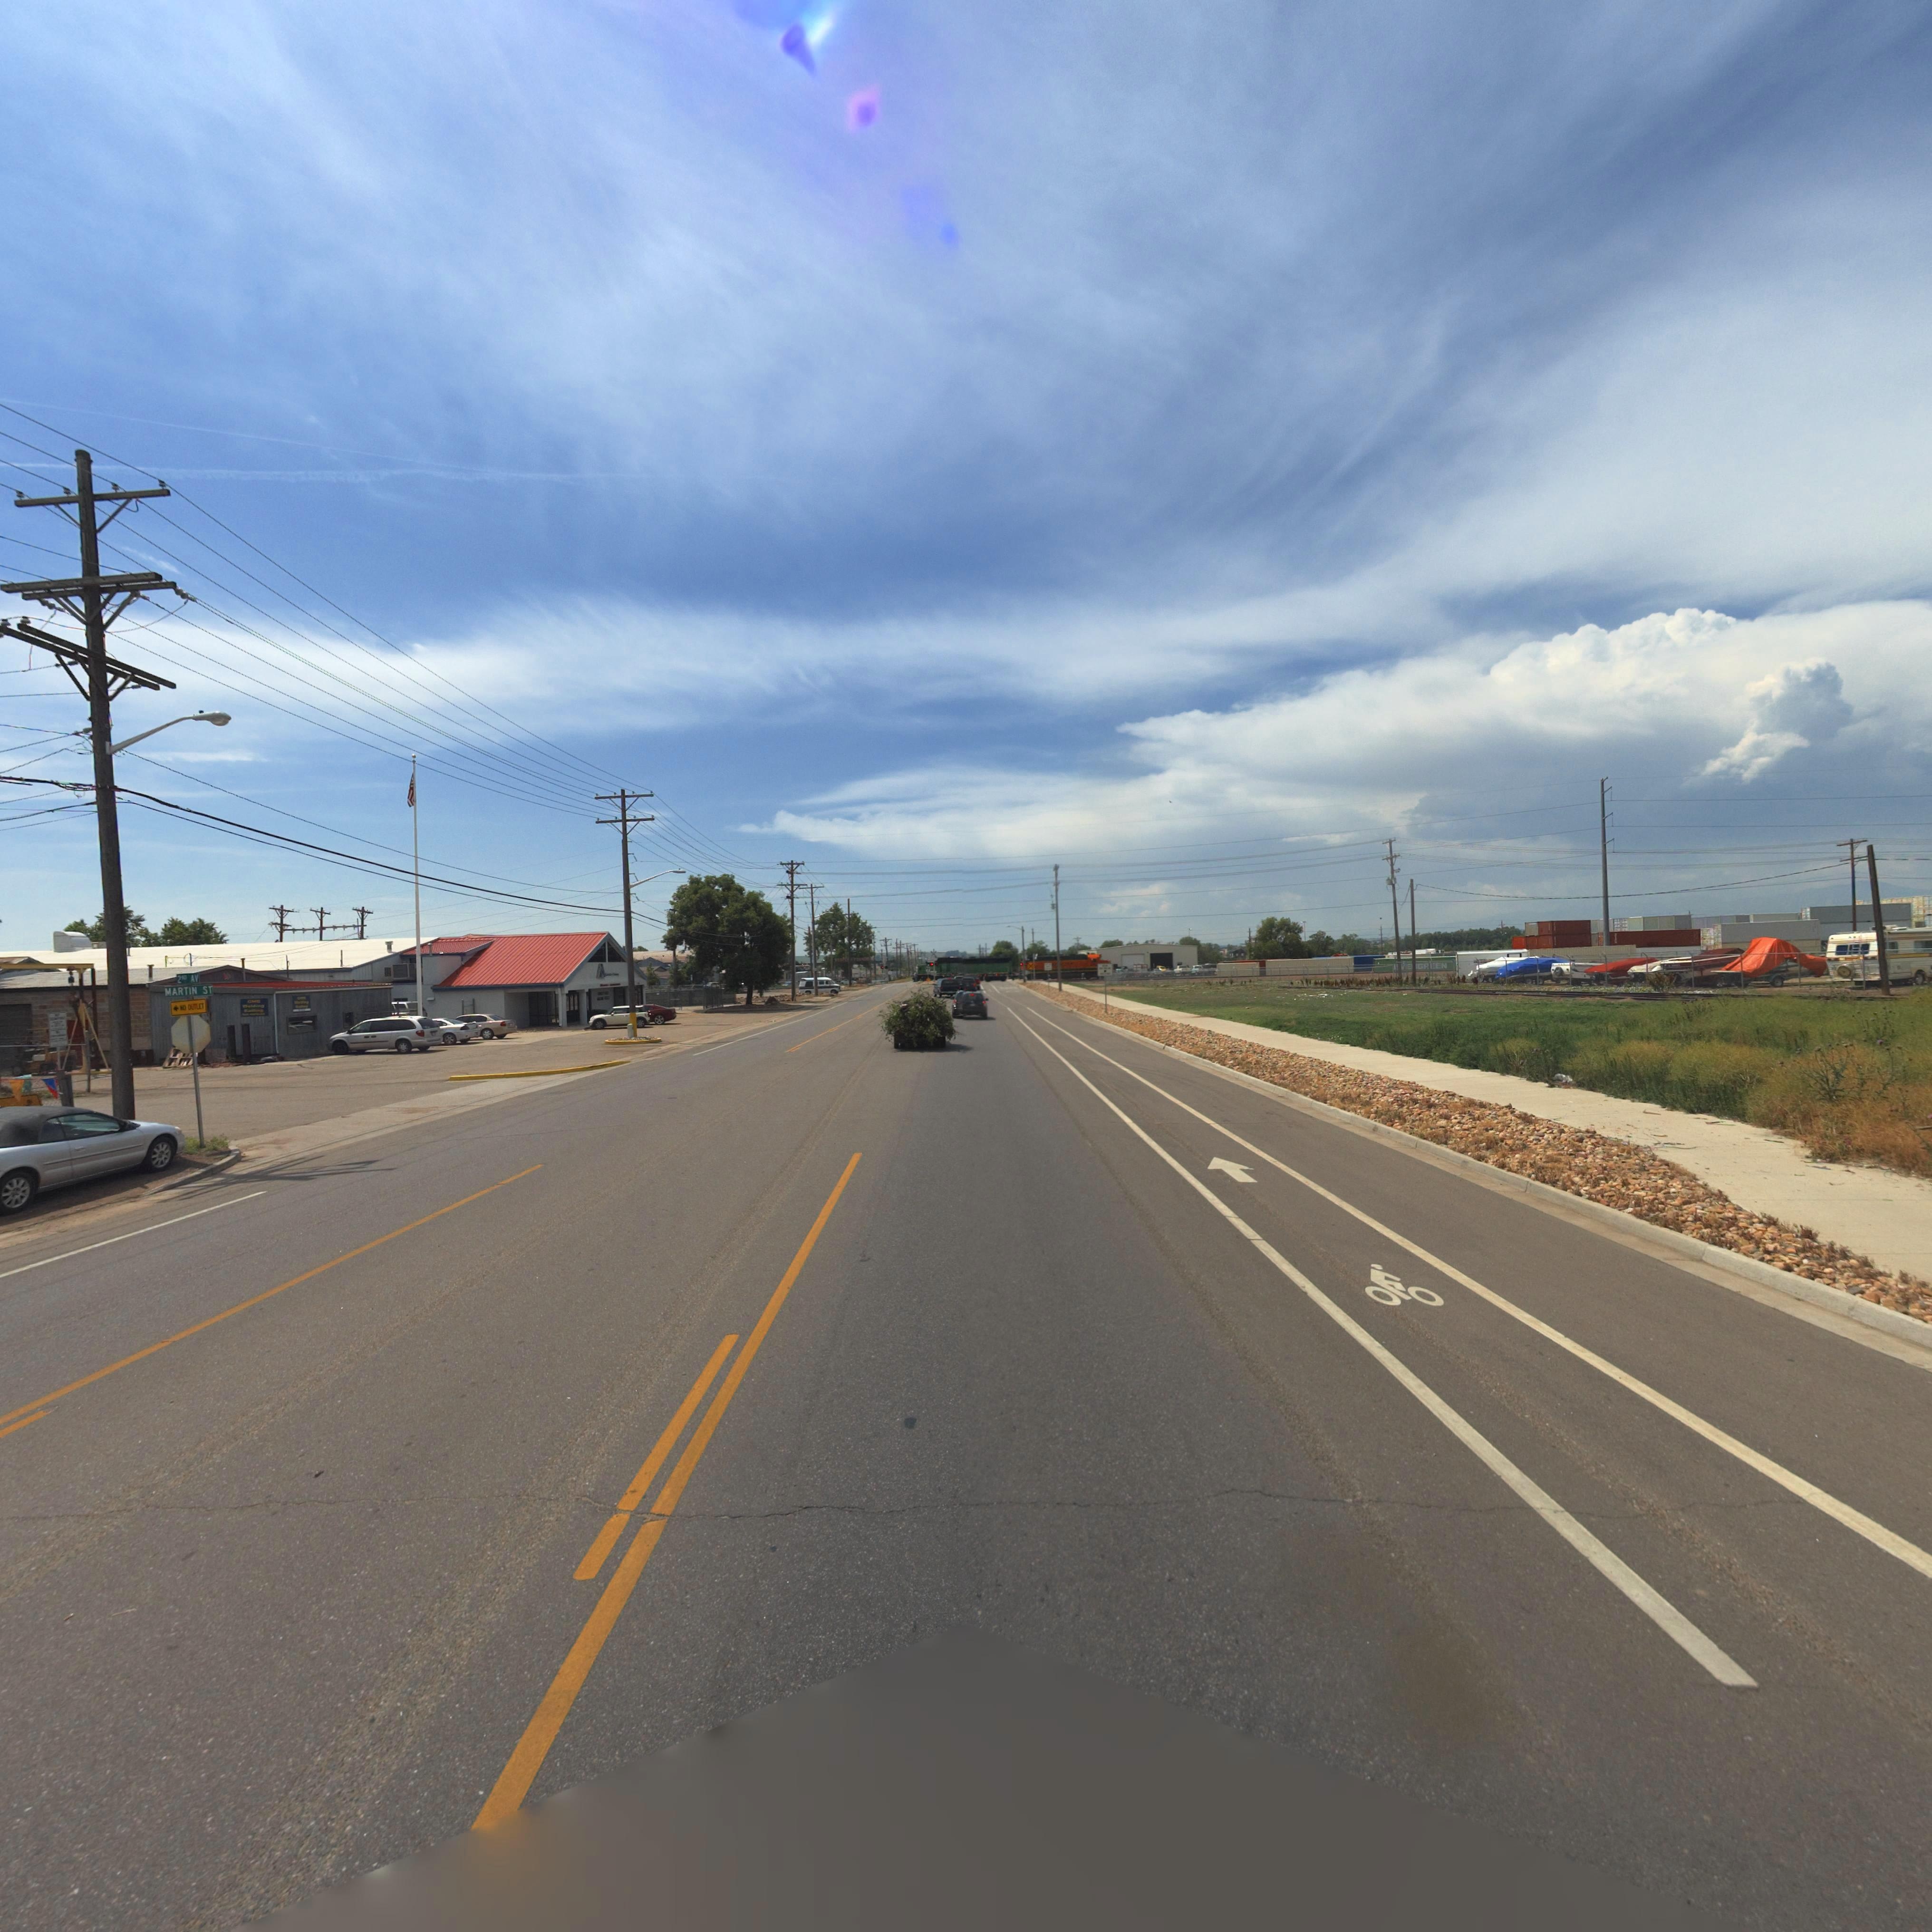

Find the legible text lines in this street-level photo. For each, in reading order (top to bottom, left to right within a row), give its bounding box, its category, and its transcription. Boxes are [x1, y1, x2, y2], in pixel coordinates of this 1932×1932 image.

[177, 974, 198, 983] StreetName: 2ND AV
[164, 985, 213, 996] StreetName: MARTIN ST